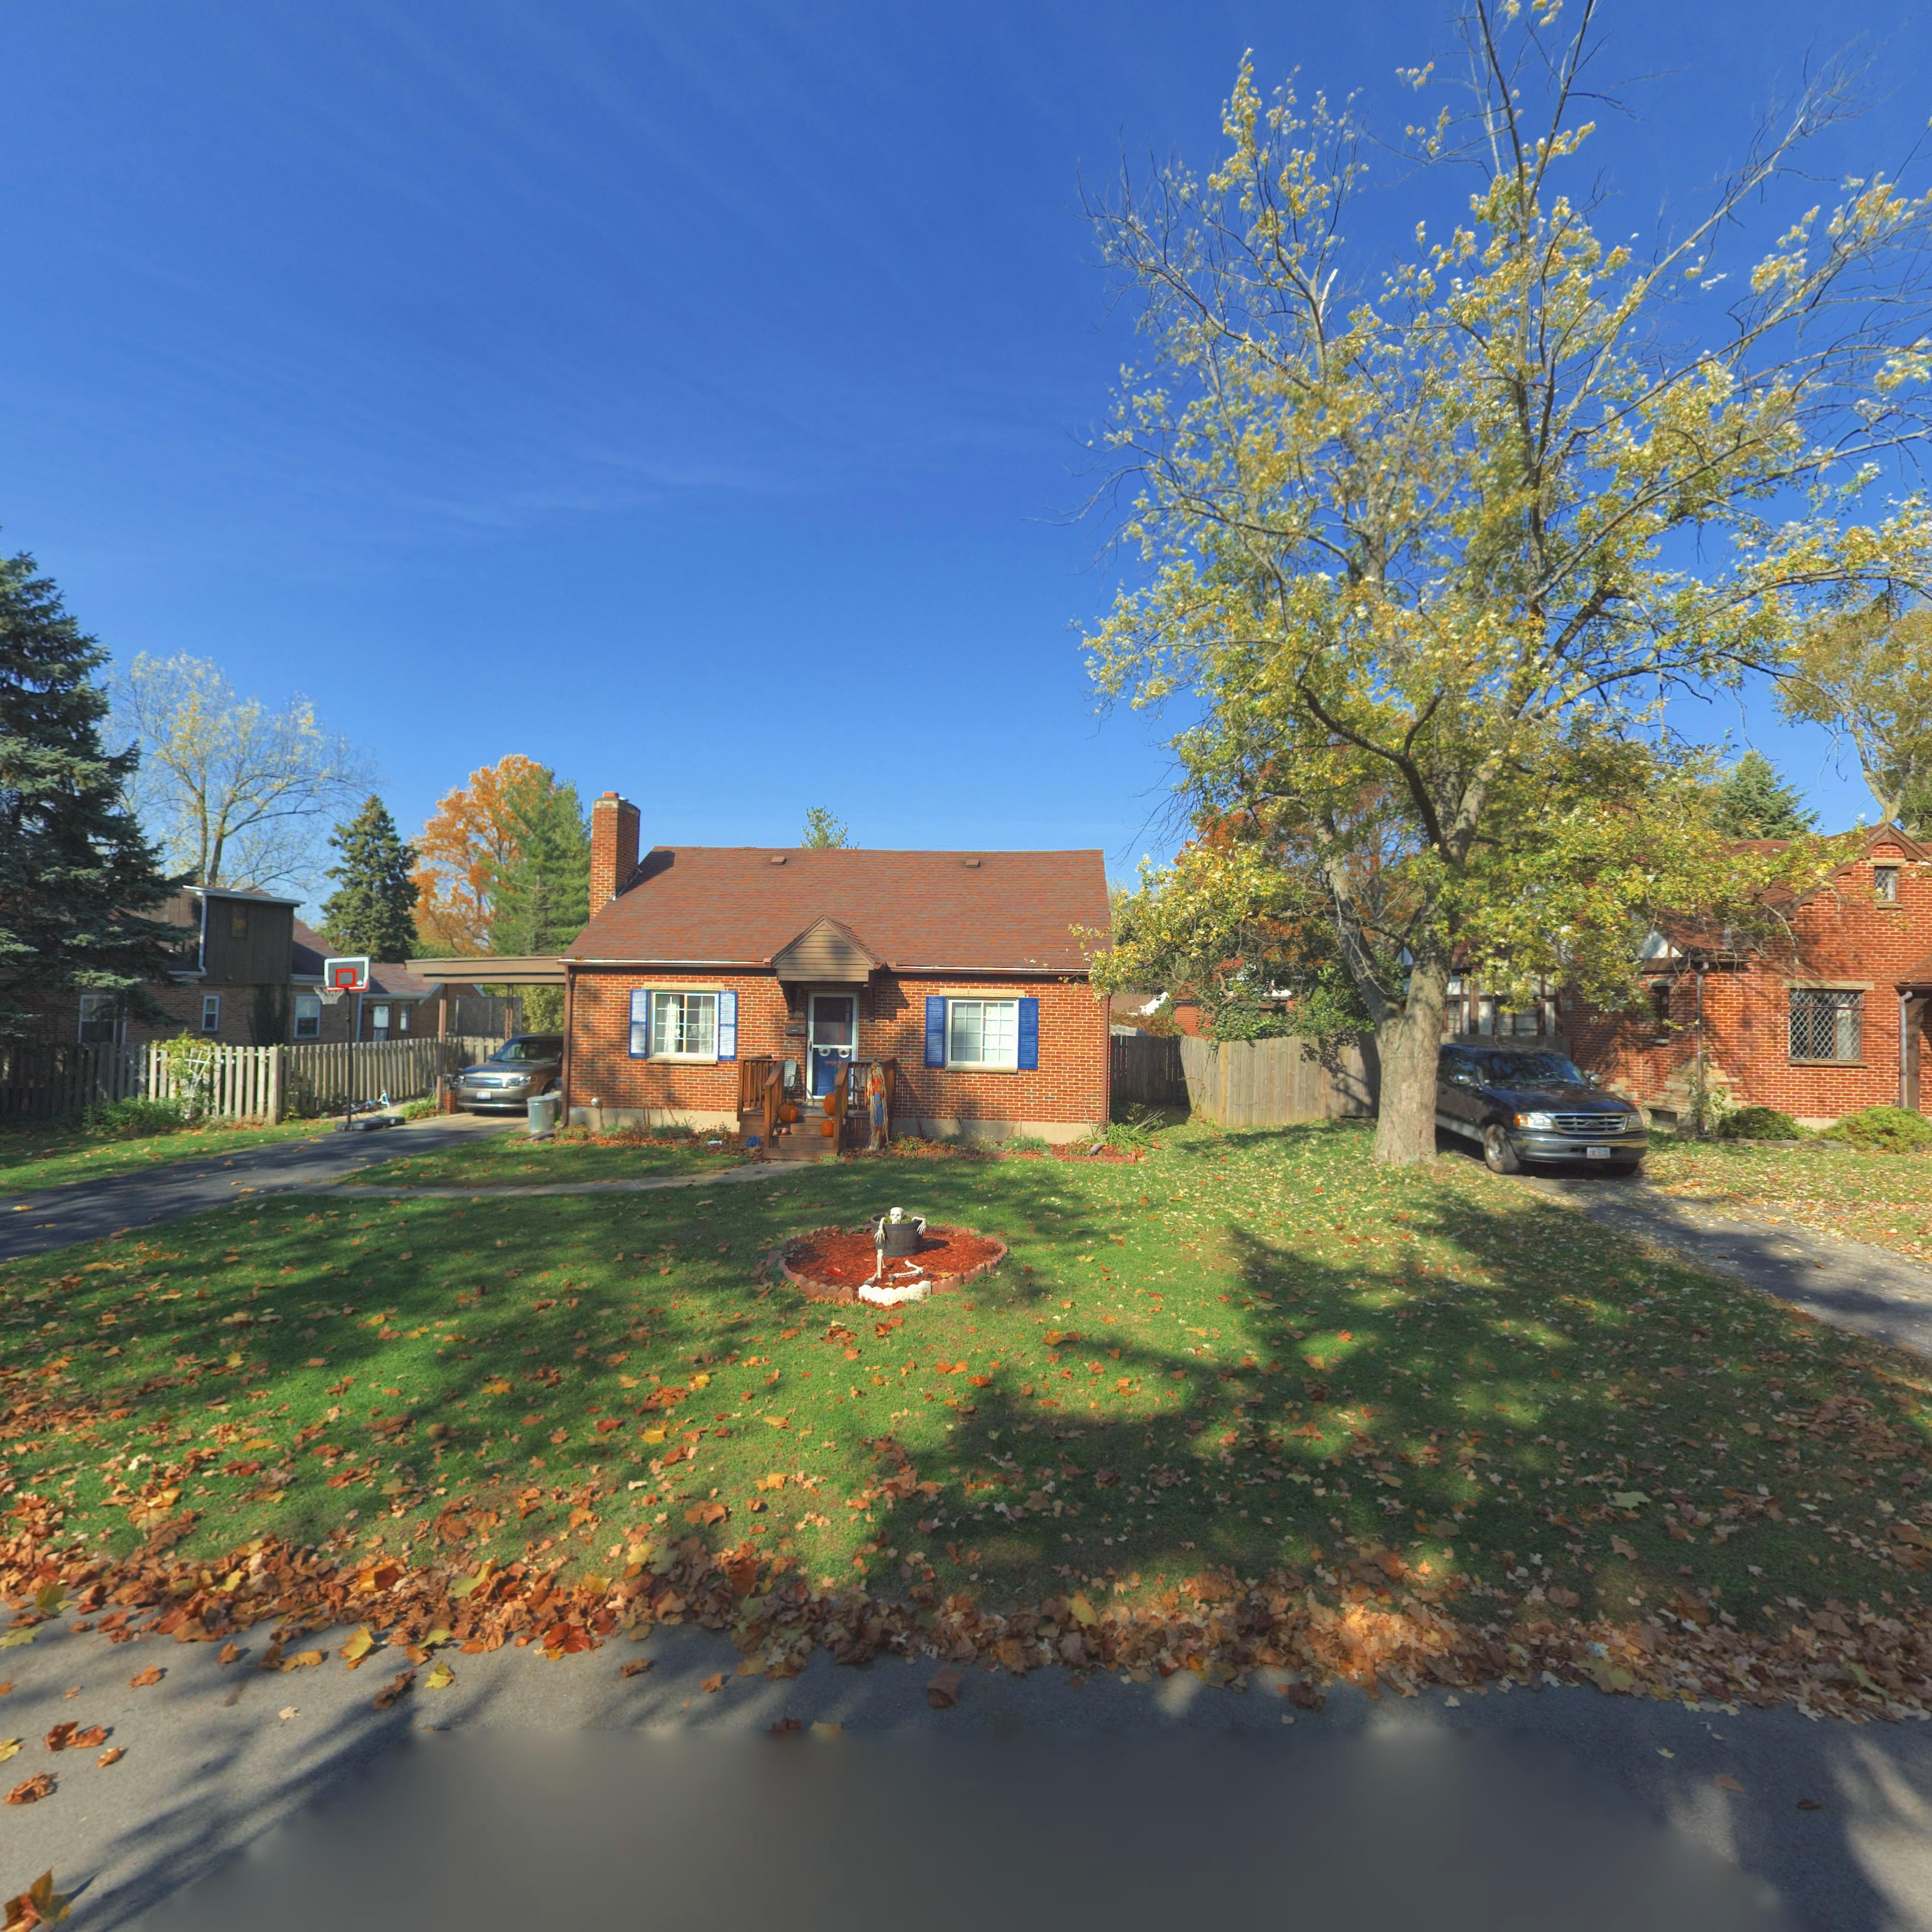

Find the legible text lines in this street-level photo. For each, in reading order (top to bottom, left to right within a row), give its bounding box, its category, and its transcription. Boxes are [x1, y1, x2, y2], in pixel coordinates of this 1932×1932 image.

[793, 1010, 804, 1017] StreetNumber: 705
[1588, 1150, 1609, 1157] None: C*C*5133